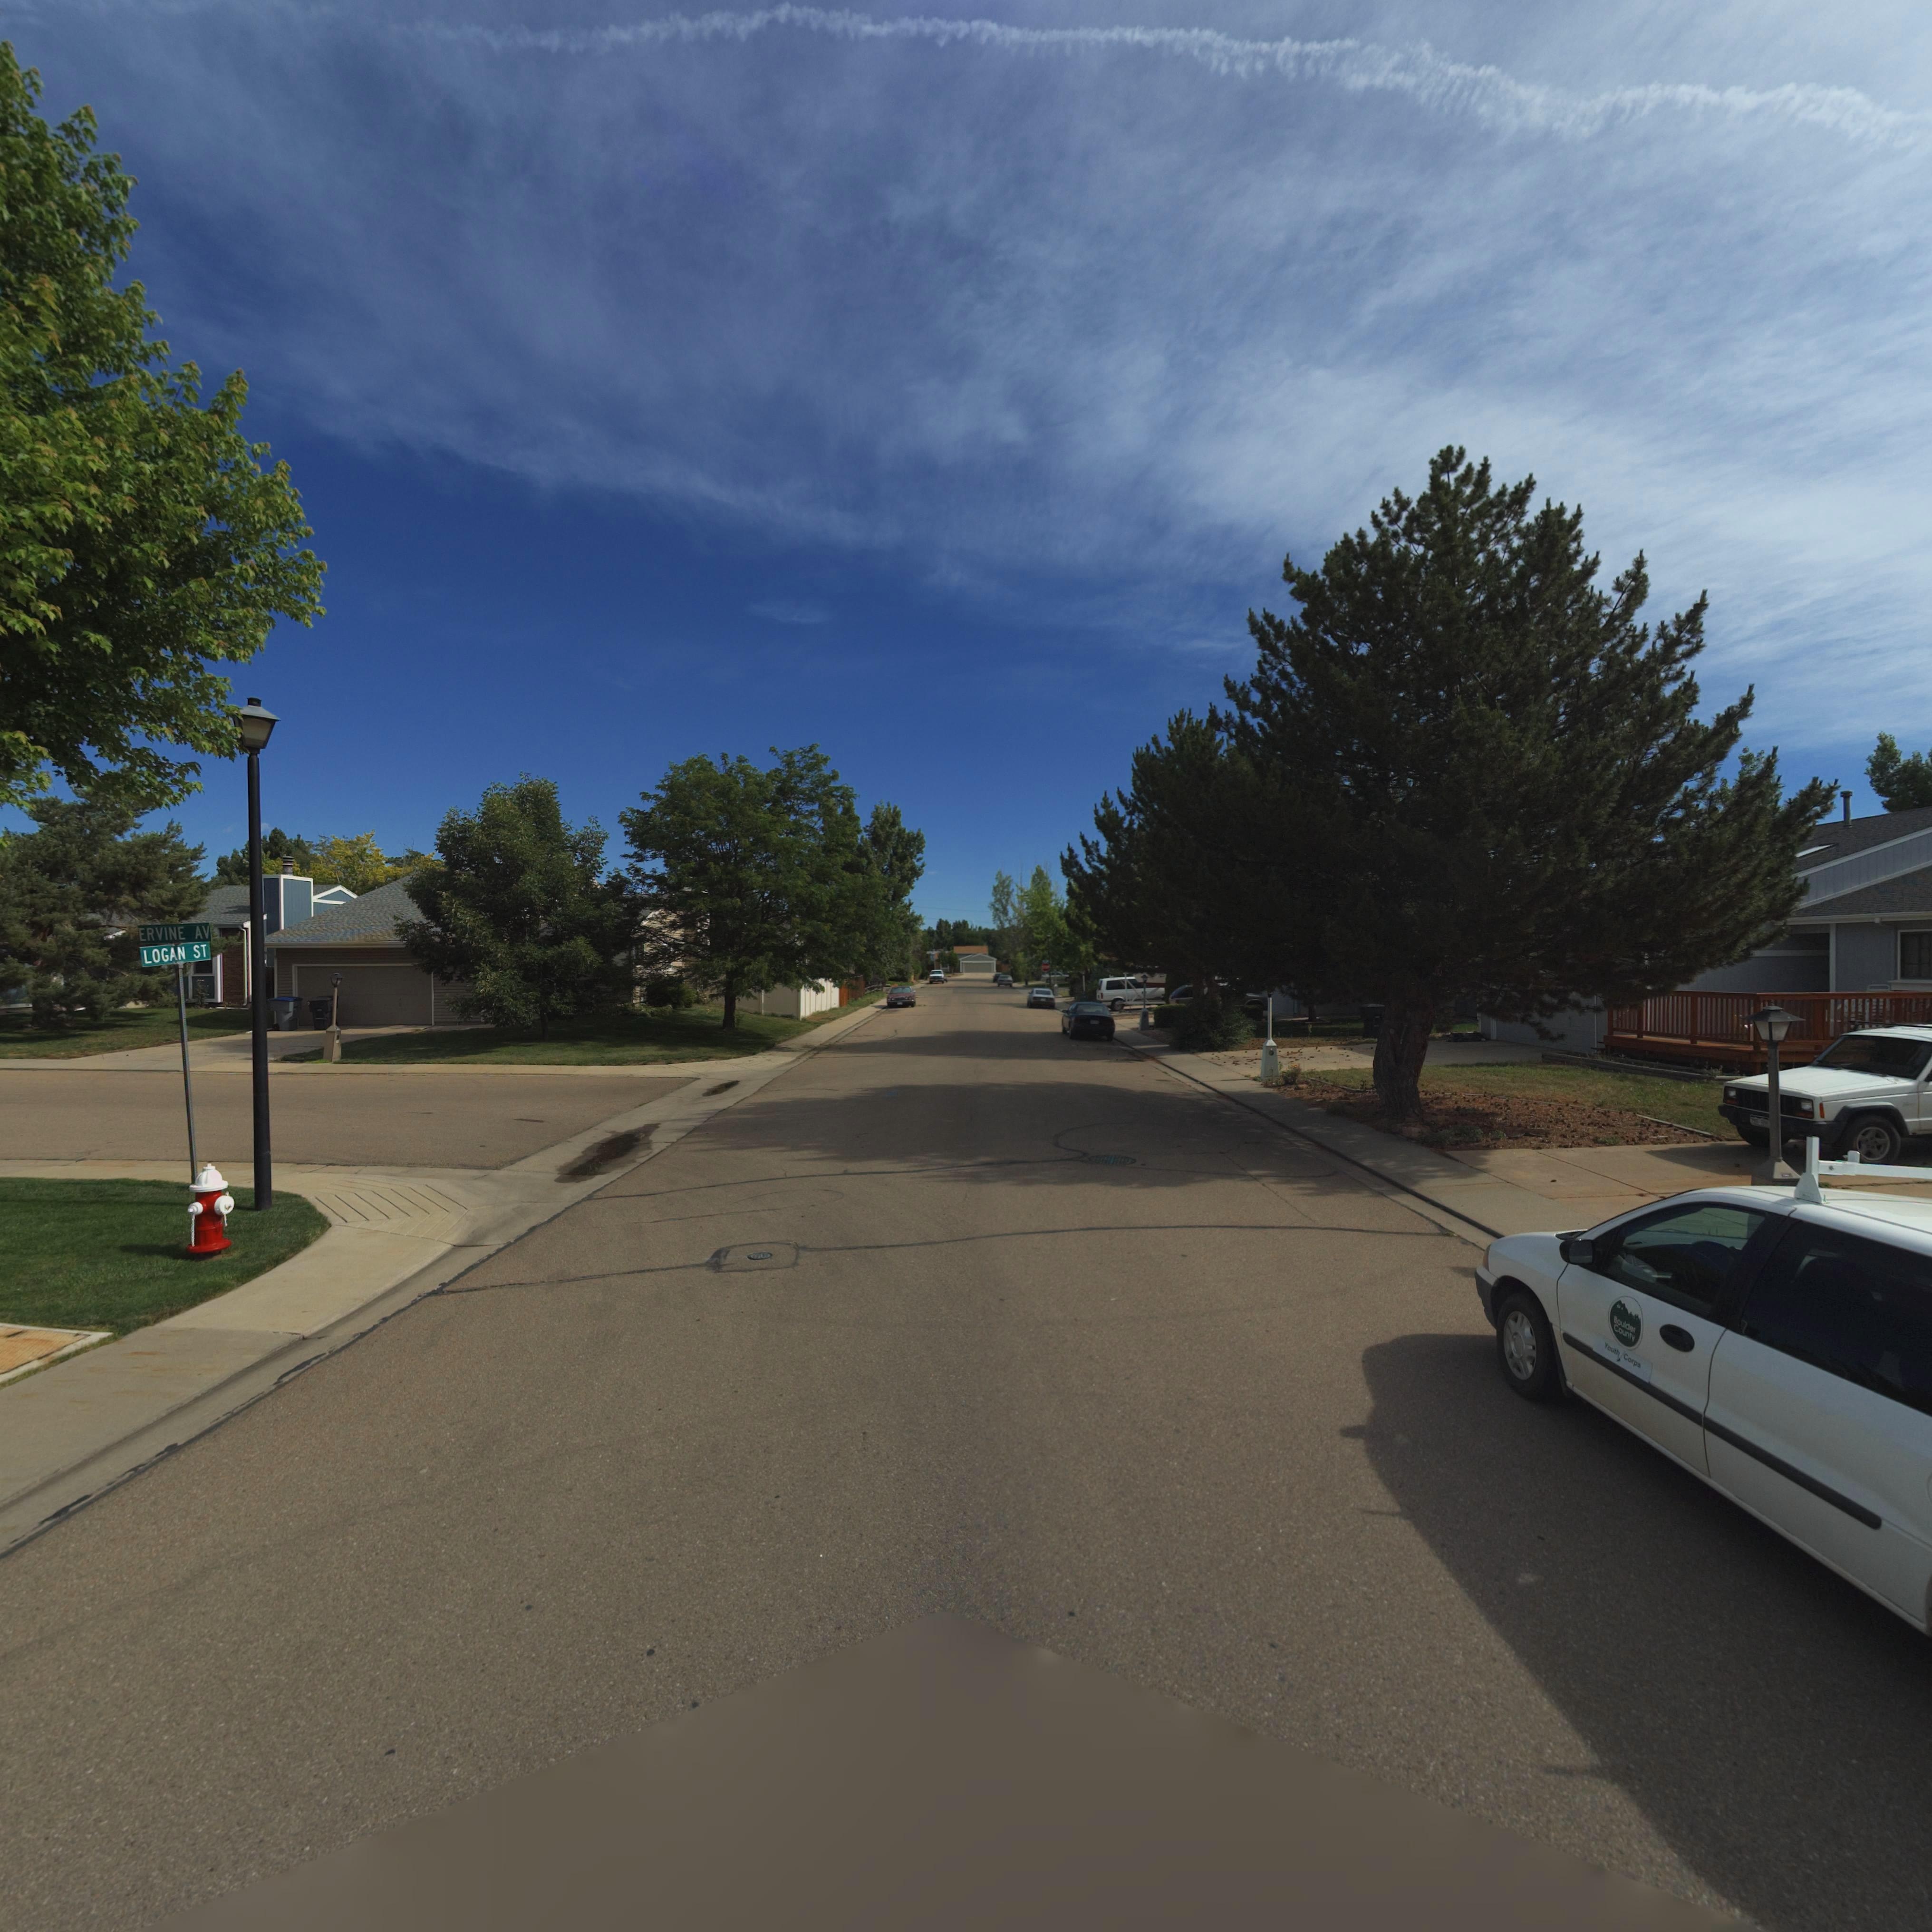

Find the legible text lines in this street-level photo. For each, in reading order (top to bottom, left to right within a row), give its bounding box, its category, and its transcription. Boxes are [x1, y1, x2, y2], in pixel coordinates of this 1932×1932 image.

[138, 925, 210, 941] StreetName: ERVINE AV
[142, 943, 208, 964] StreetName: LOGAN ST